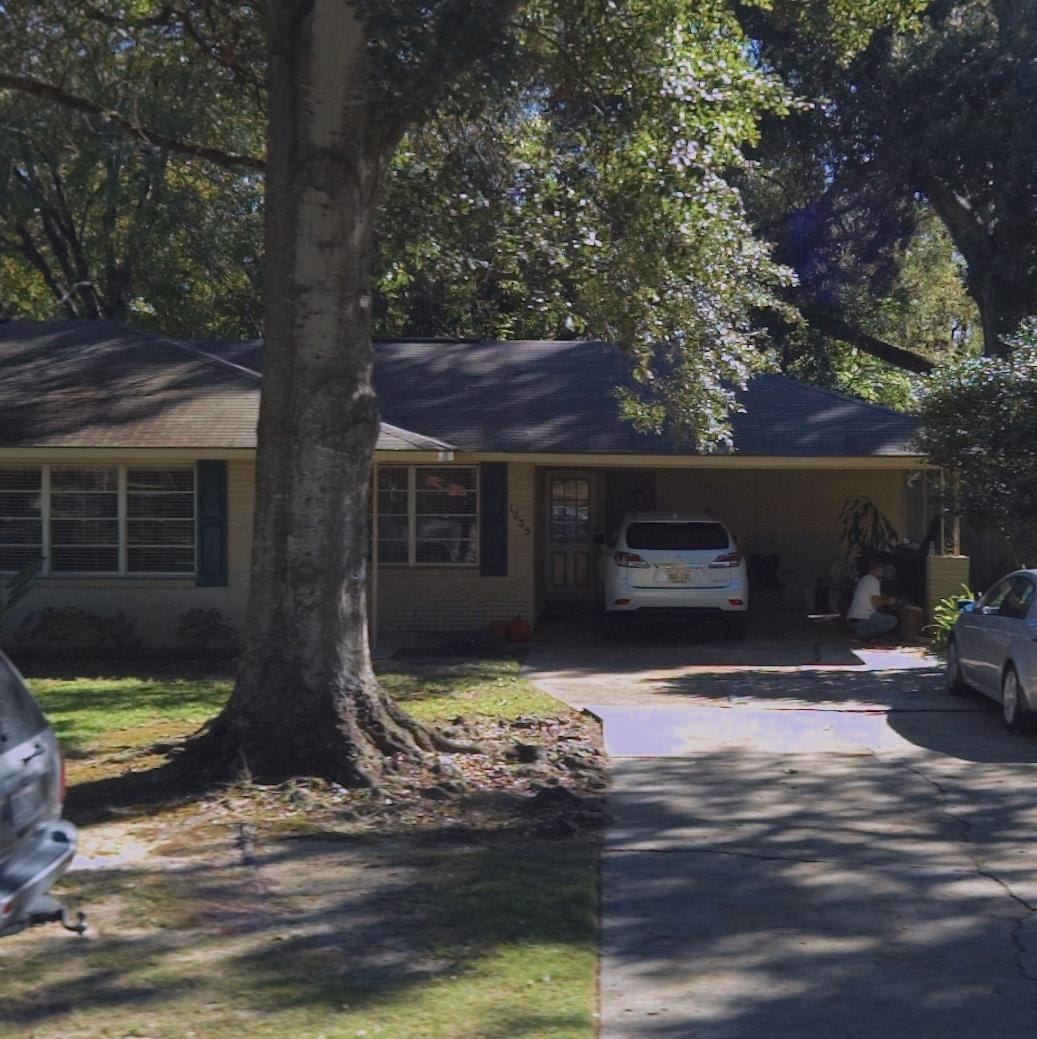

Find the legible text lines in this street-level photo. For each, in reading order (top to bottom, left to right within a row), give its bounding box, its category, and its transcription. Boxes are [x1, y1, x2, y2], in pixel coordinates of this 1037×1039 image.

[506, 502, 533, 539] StreetNumber: 1235